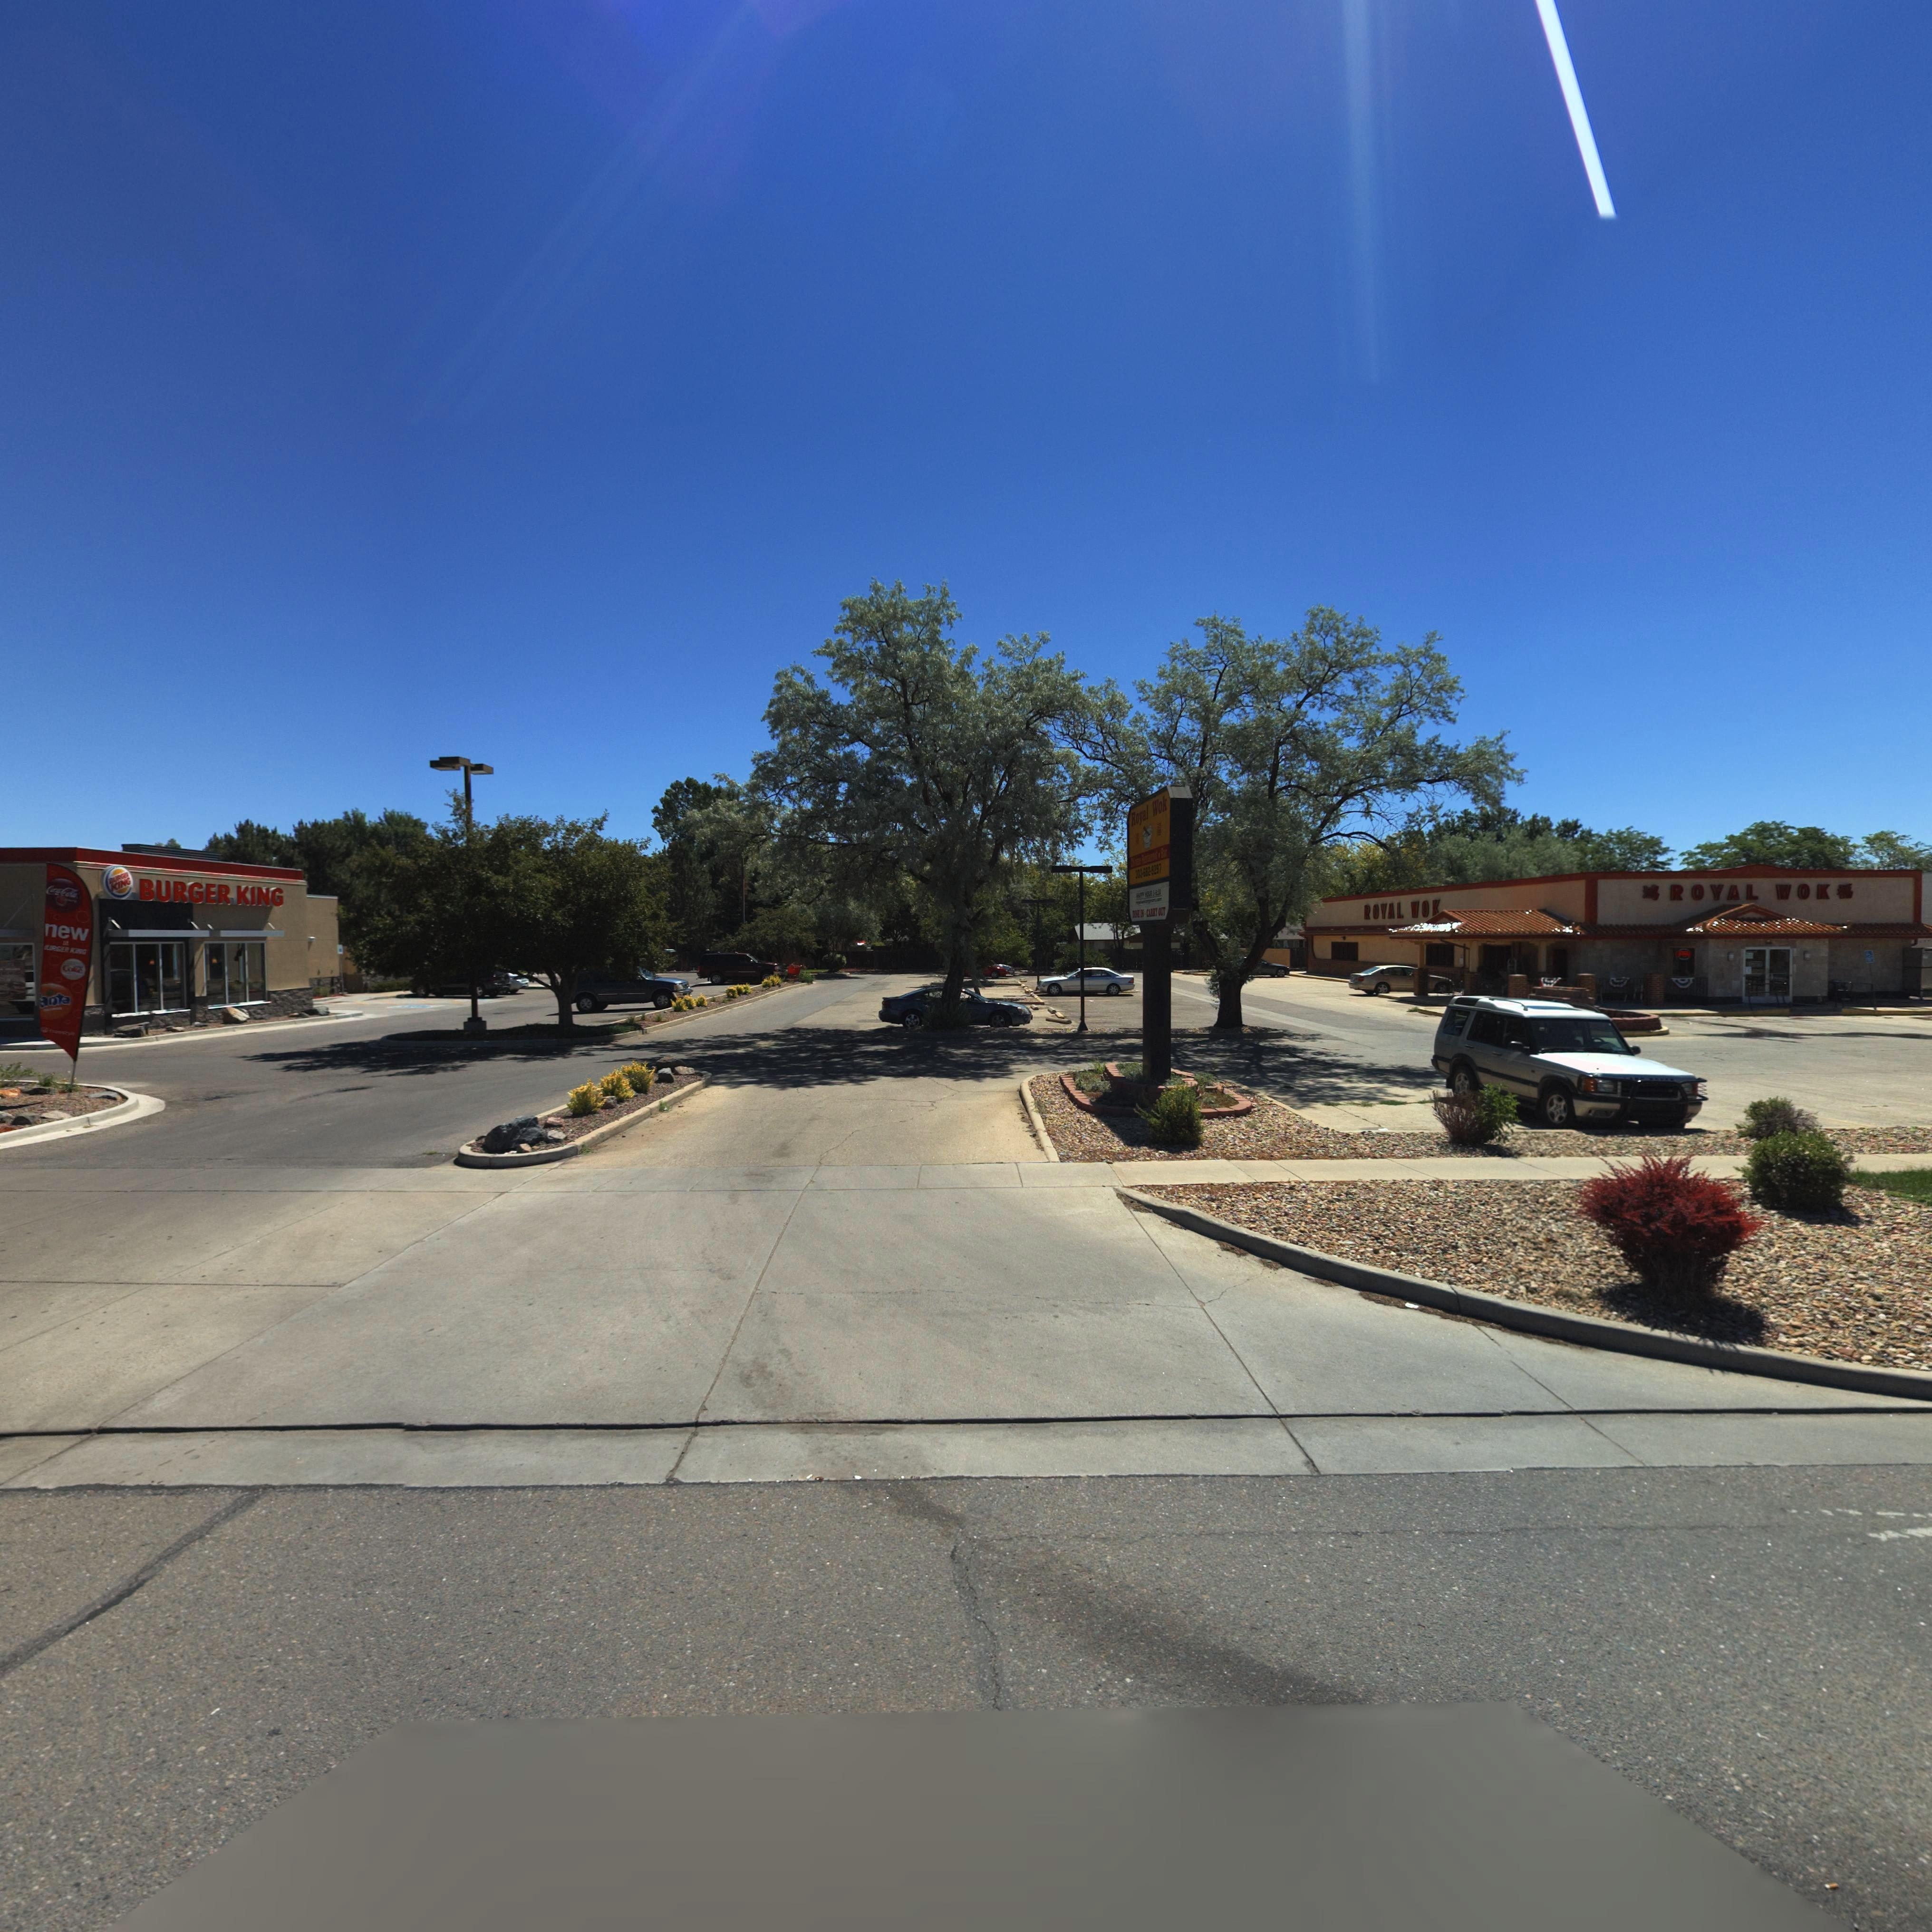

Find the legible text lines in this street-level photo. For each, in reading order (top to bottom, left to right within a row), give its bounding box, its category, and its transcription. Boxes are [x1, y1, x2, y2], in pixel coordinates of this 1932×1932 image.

[1131, 794, 1168, 828] BusinessName: ROYAL WOK
[107, 871, 128, 884] BusinessName: BURGER
[110, 877, 131, 893] BusinessName: KING
[138, 877, 284, 908] BusinessName: BURGER KING
[1670, 883, 1831, 901] BusinessName: ROYAL WOK
[1363, 898, 1440, 920] BusinessName: ROYAL WOK